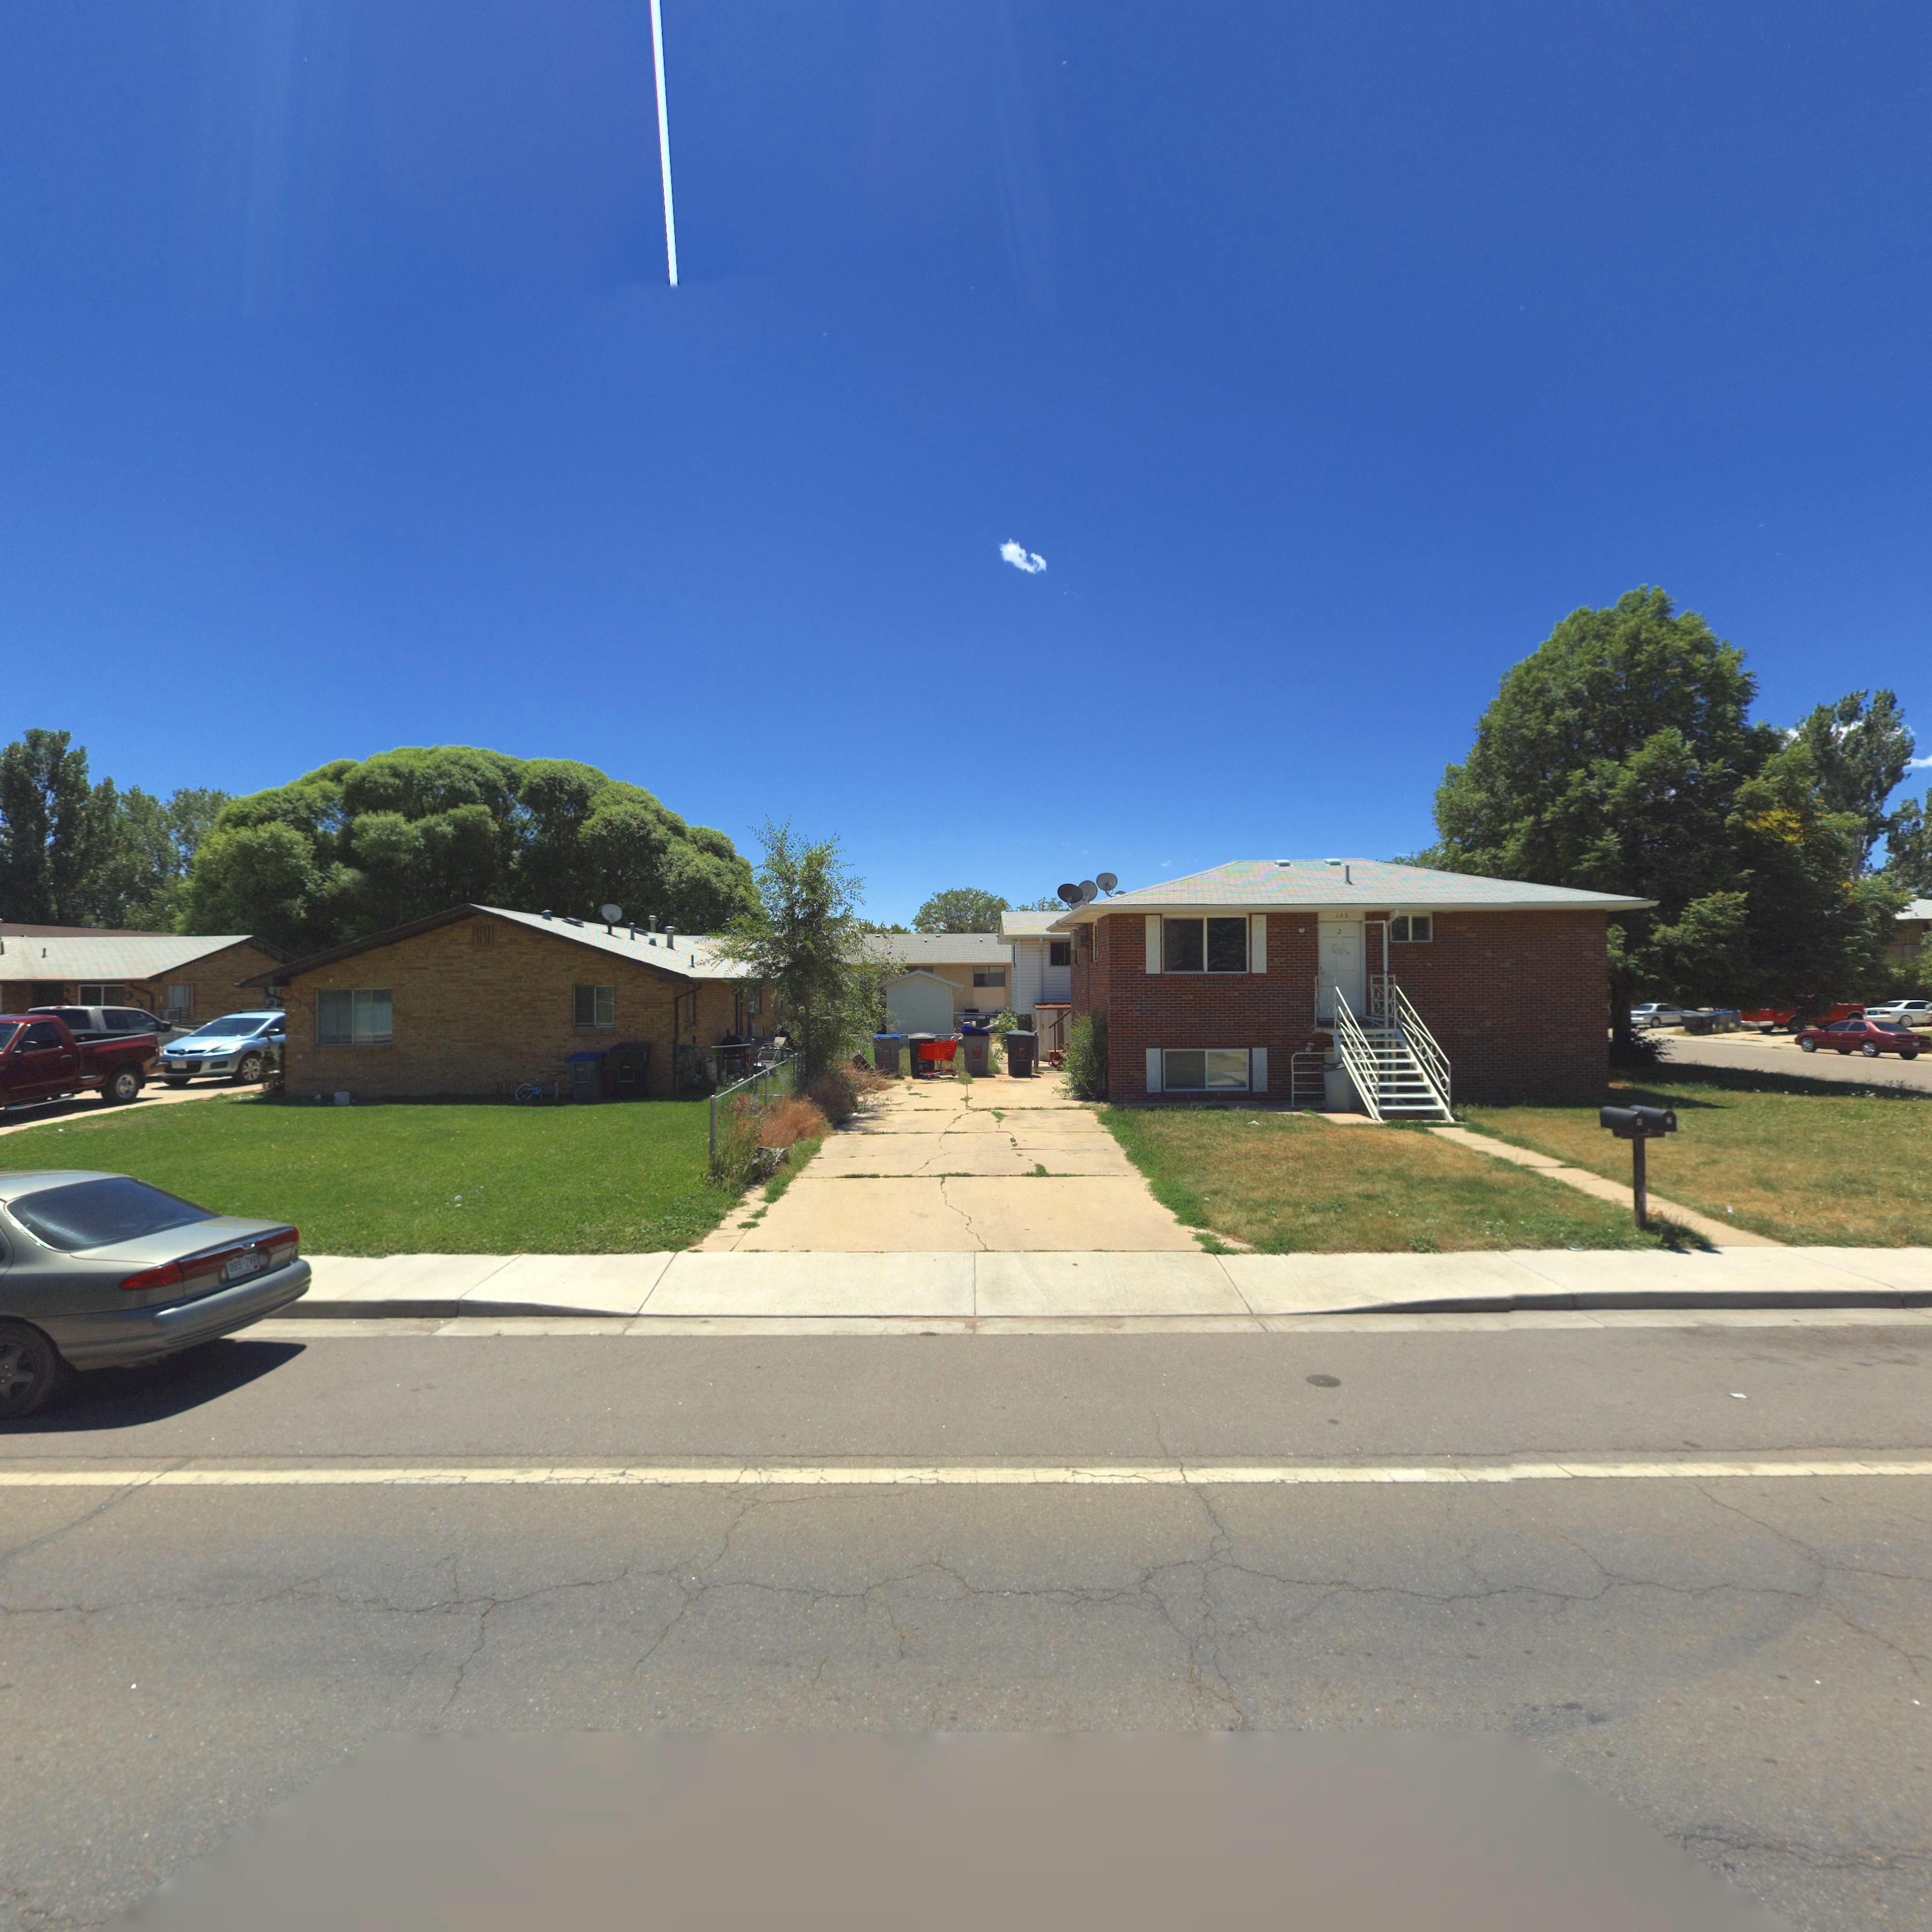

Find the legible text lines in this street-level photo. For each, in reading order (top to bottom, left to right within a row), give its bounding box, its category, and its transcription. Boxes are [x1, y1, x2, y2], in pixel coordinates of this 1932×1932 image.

[1336, 912, 1349, 918] StreetNumber: 153
[1337, 928, 1342, 934] StreetNumber: 2